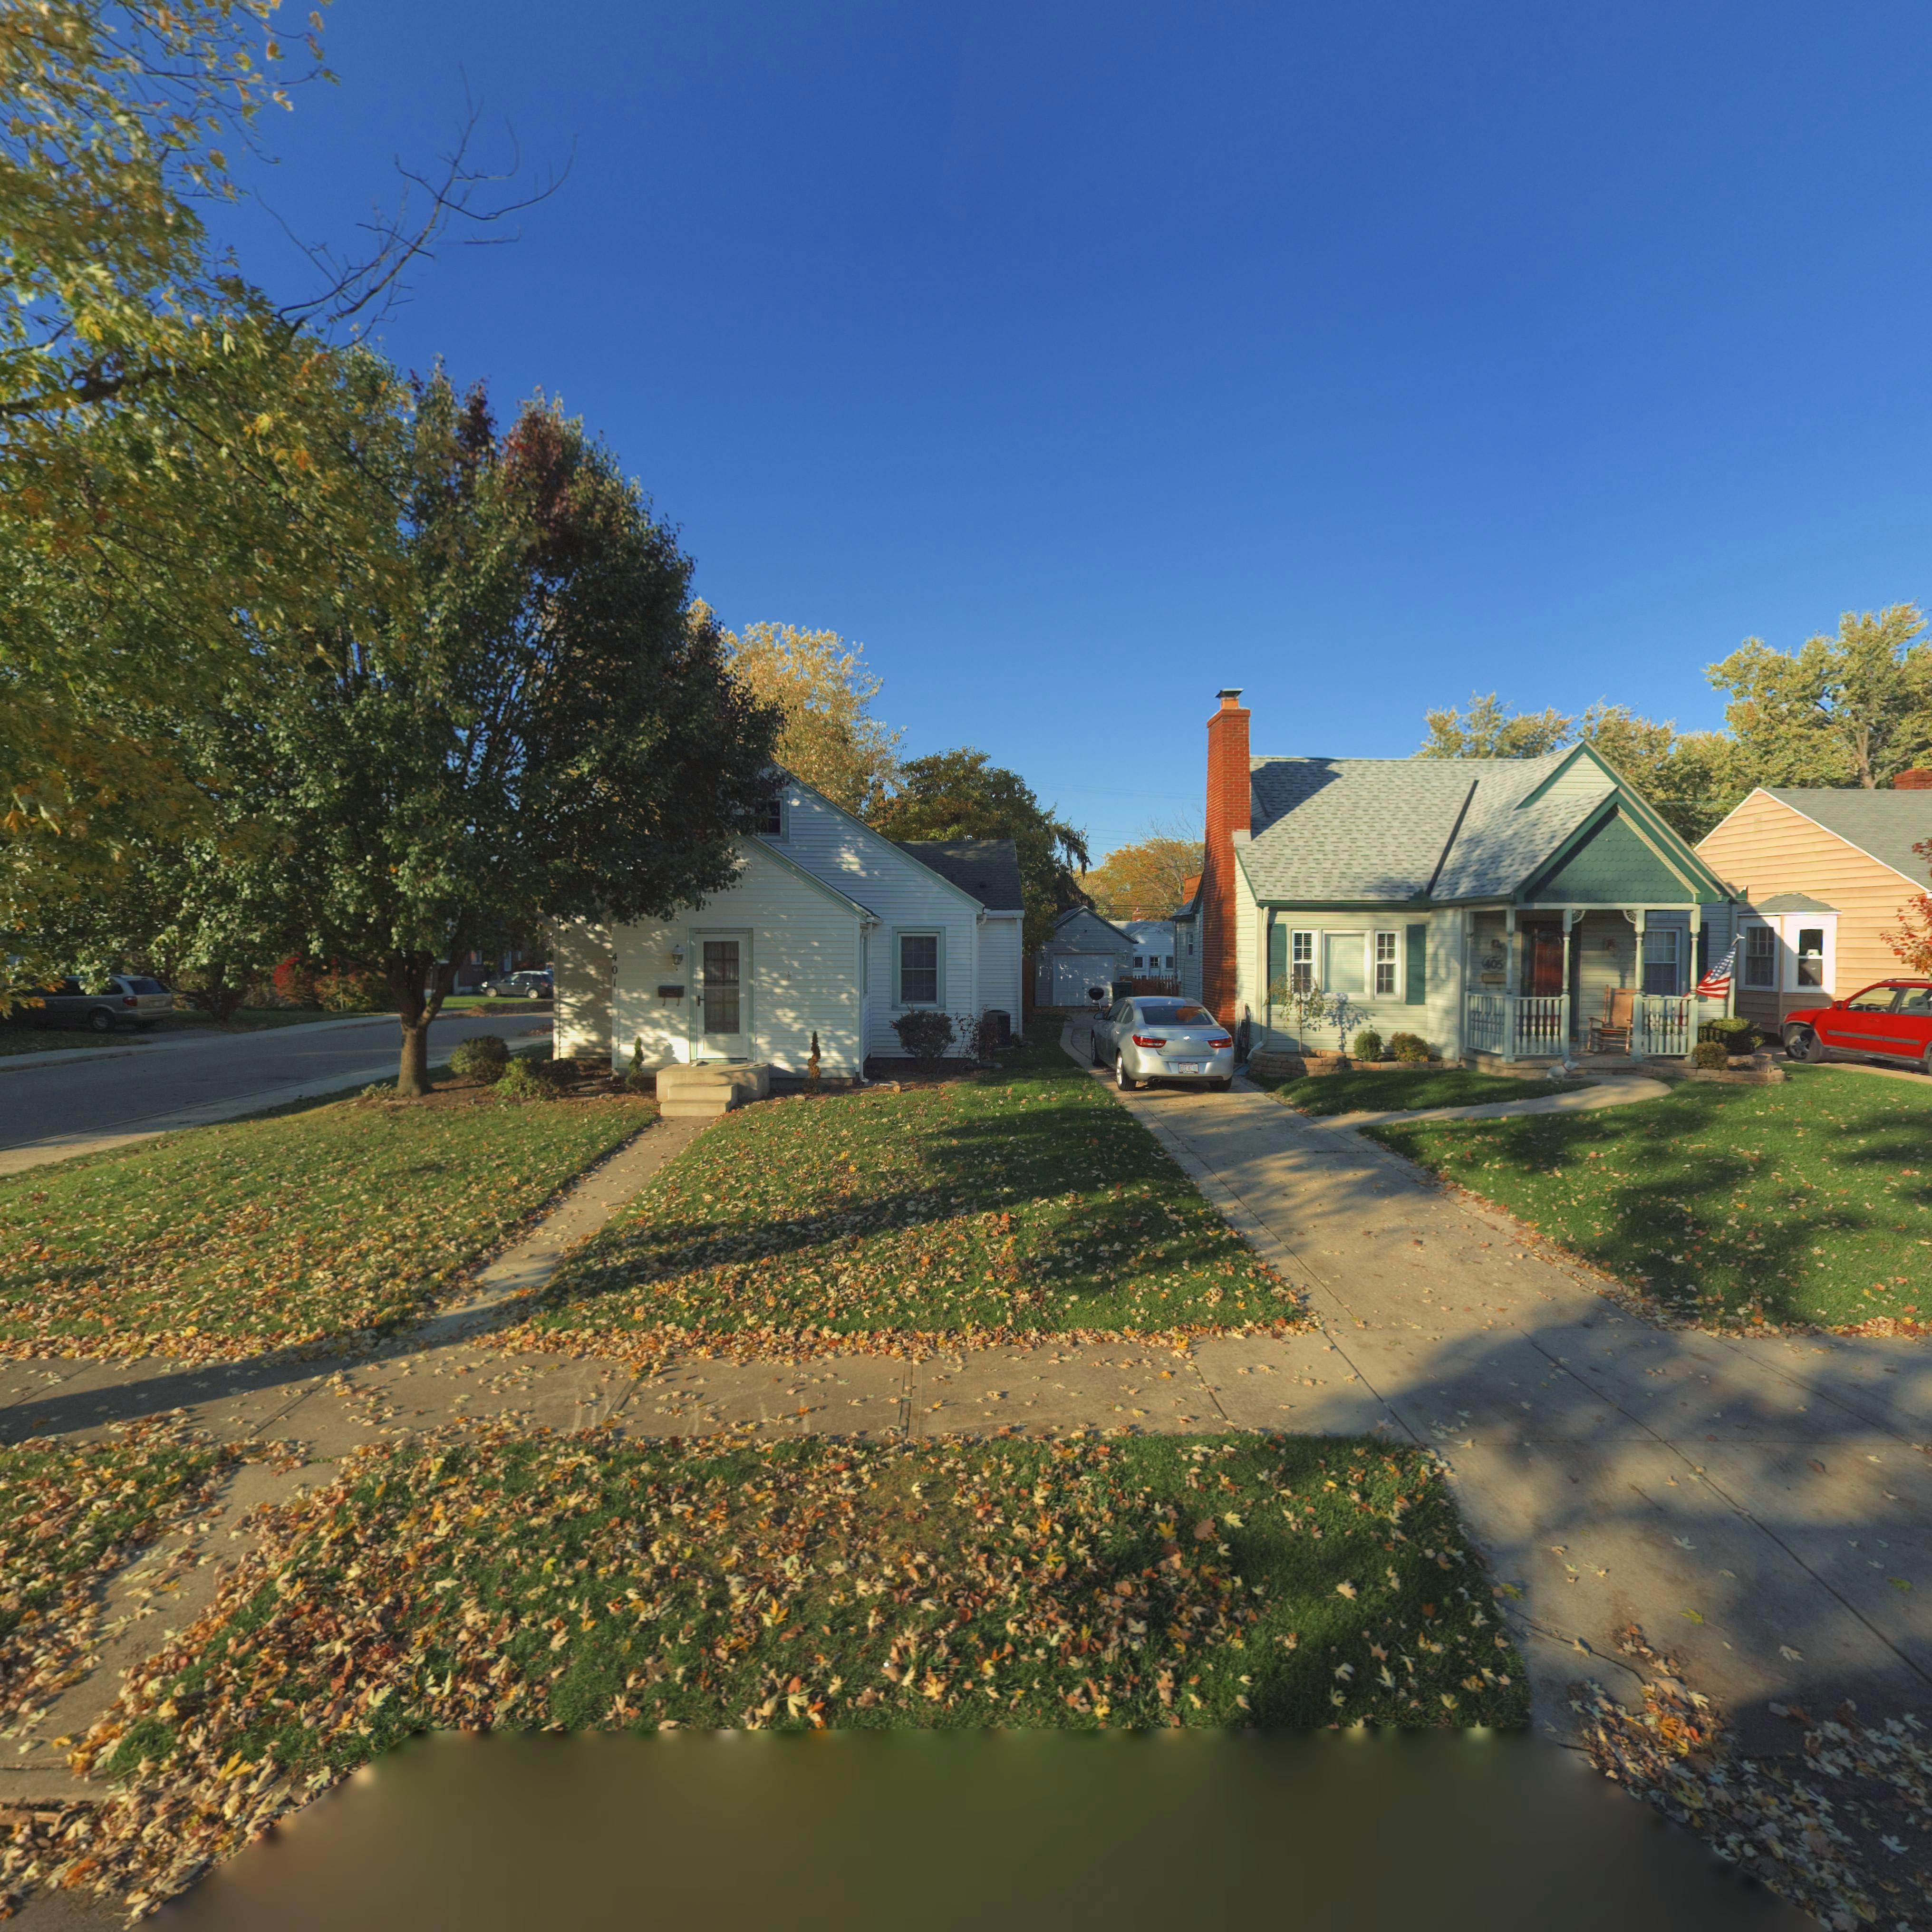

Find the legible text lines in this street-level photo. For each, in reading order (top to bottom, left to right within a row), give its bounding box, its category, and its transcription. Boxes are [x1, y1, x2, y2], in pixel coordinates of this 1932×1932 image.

[611, 951, 618, 988] StreetNumber: 401
[1483, 958, 1503, 970] StreetNumber: 405